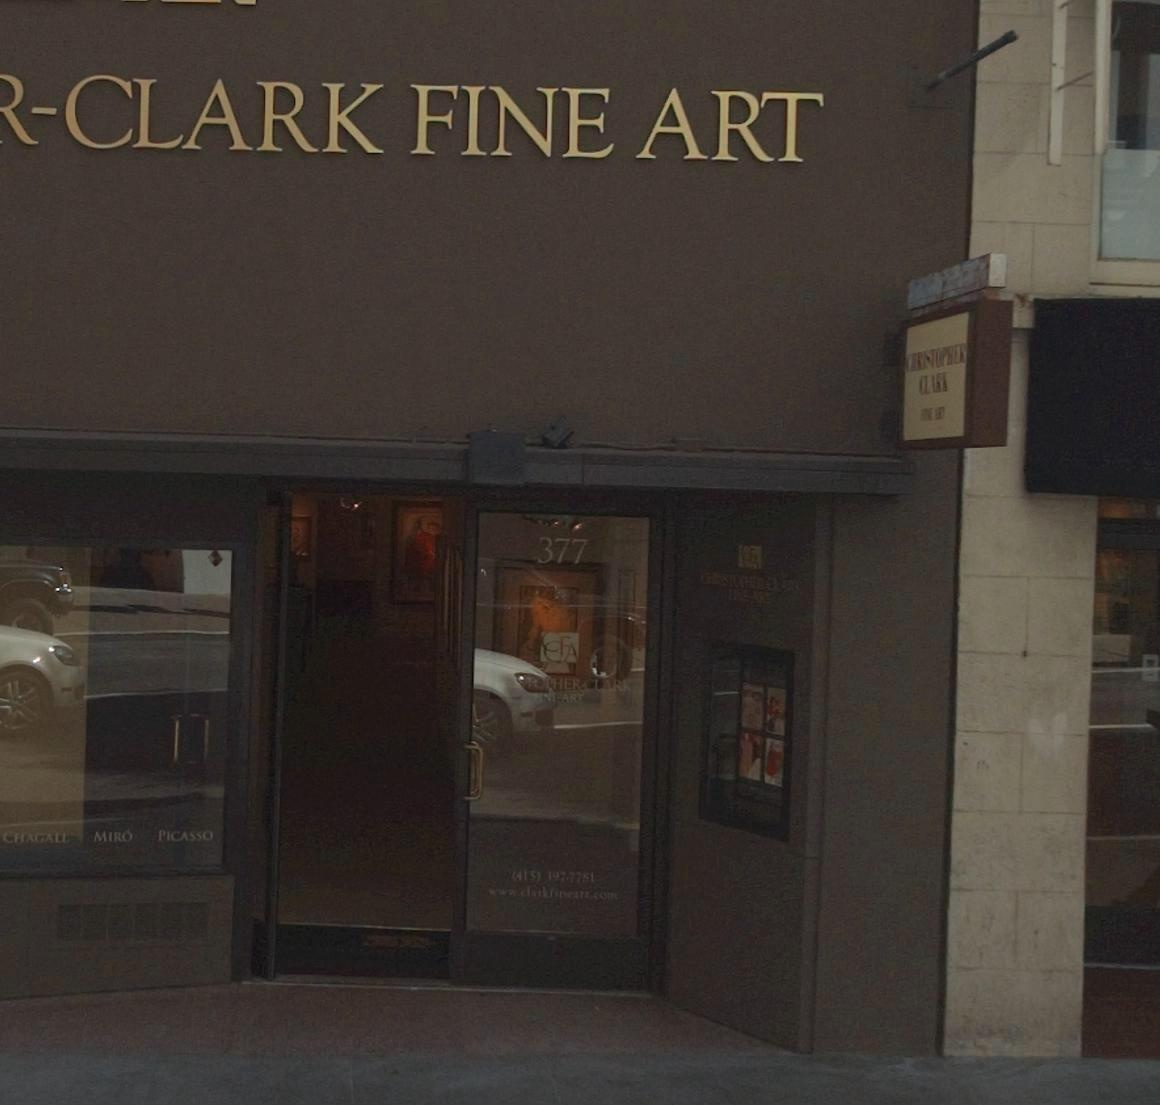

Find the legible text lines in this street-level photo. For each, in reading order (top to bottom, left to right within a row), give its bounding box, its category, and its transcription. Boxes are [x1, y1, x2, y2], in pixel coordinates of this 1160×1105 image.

[62, 73, 830, 165] BusinessName: CLARK FINE ART
[904, 343, 966, 374] BusinessName: CHRISTOPHER
[918, 370, 948, 397] BusinessName: CLARK
[536, 532, 588, 568] StreetNumber: 377
[524, 675, 632, 694] BusinessName: TOPHER CLARK
[532, 691, 584, 705] BusinessName: FINE ART
[2, 829, 67, 844] None: CHAGALL
[91, 829, 132, 843] None: MIRO
[154, 826, 213, 843] None: PICASSO
[508, 865, 595, 885] None: (415)397-7781
[481, 881, 619, 901] None: www.clarkfineart.com